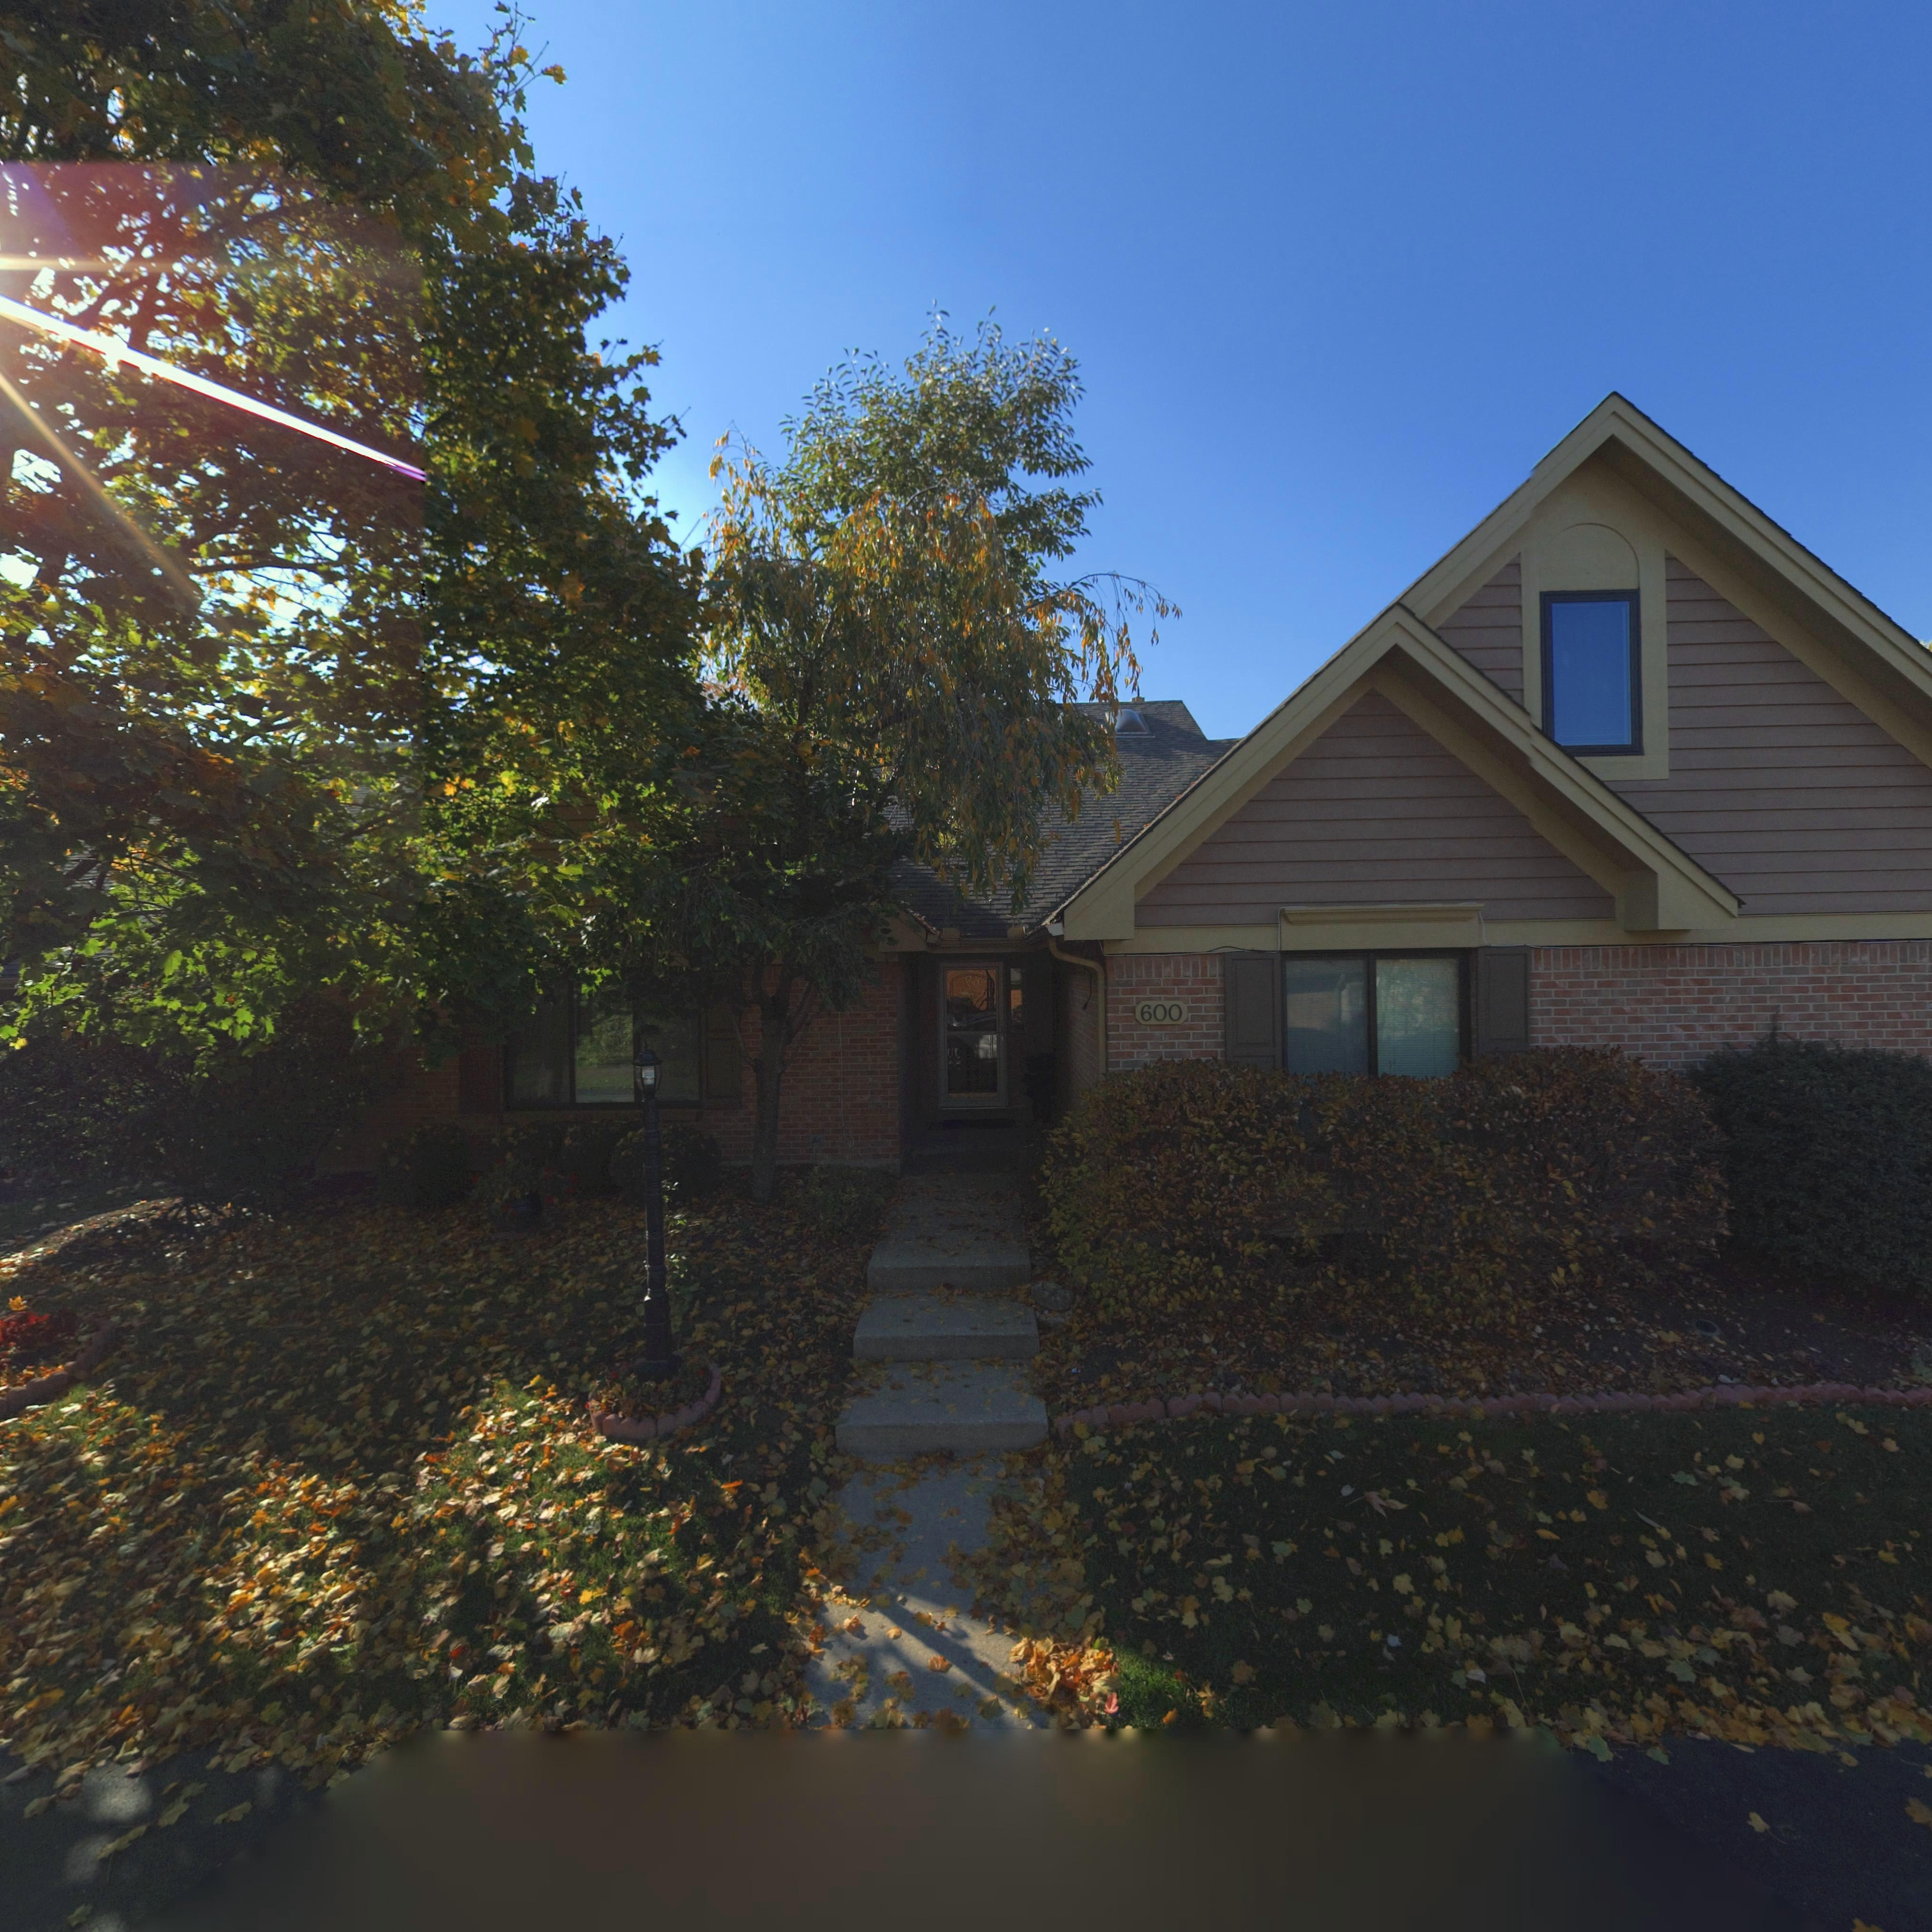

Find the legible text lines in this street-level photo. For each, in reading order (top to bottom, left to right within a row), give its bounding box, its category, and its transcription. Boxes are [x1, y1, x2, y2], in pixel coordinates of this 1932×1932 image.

[1139, 1003, 1184, 1023] StreetNumber: 600